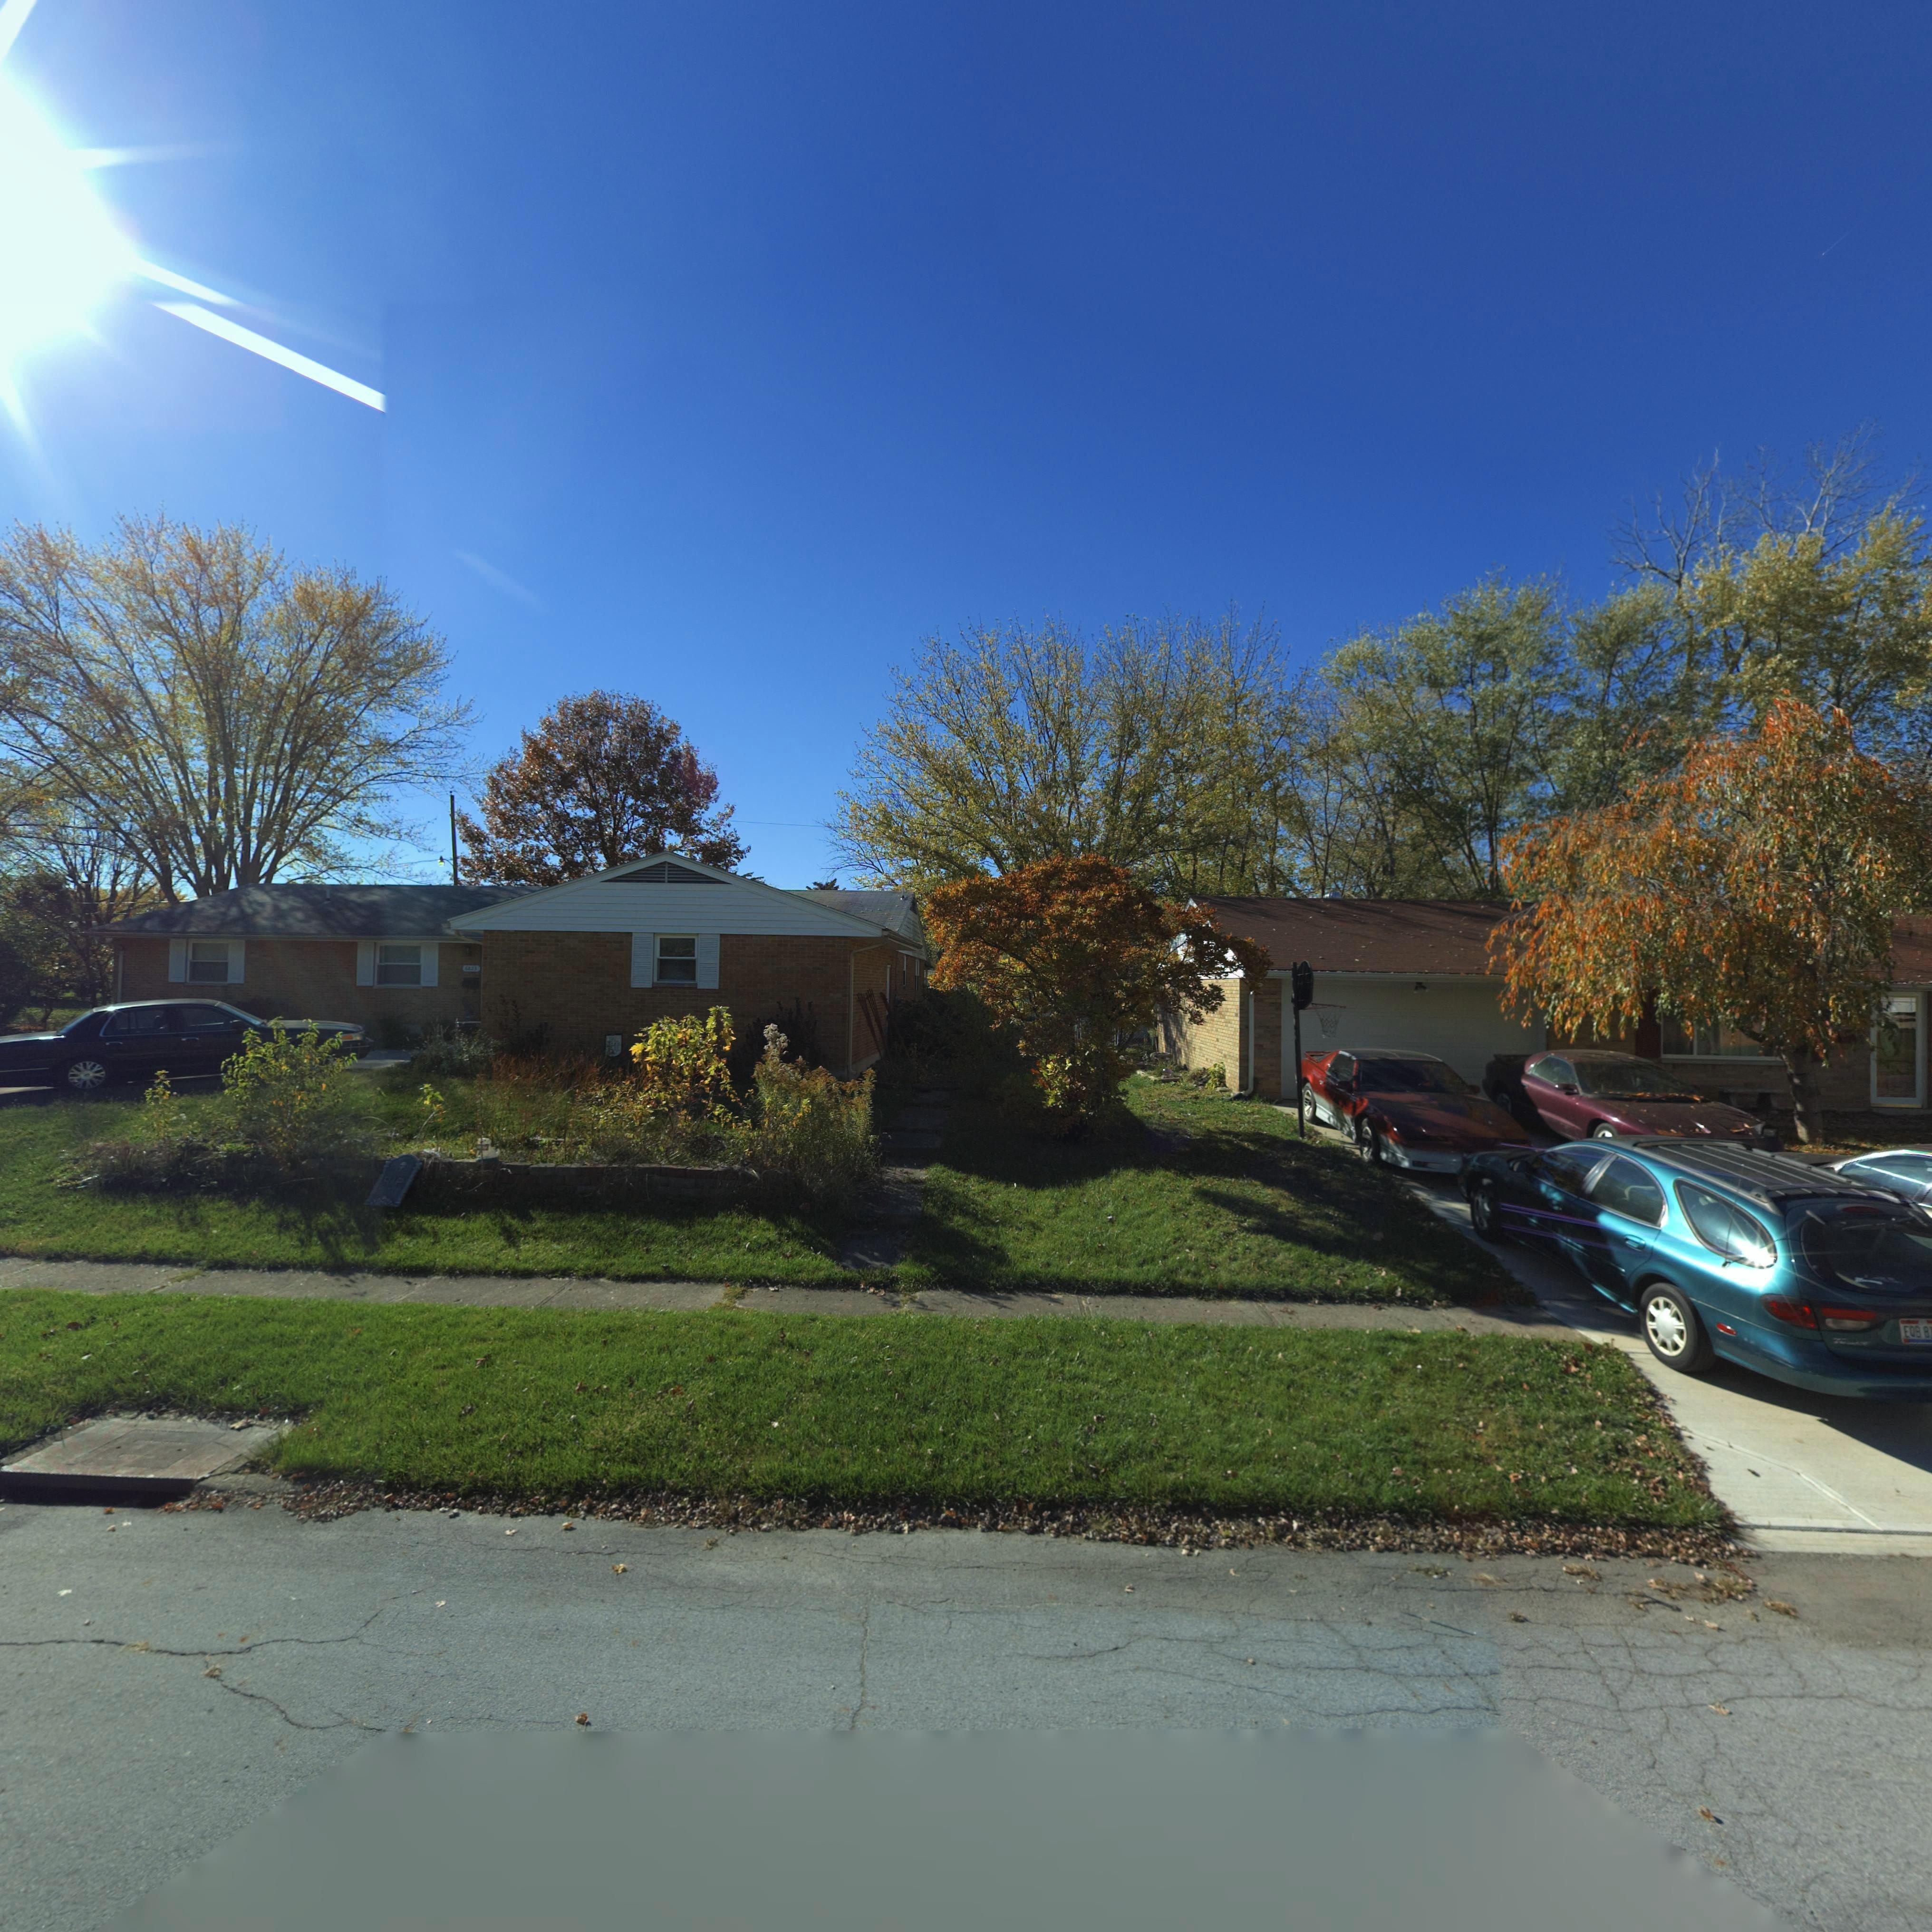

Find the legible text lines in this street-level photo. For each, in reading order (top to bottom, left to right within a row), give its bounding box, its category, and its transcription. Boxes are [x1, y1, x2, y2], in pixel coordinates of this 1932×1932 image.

[464, 966, 477, 971] StreetNumber: 6823